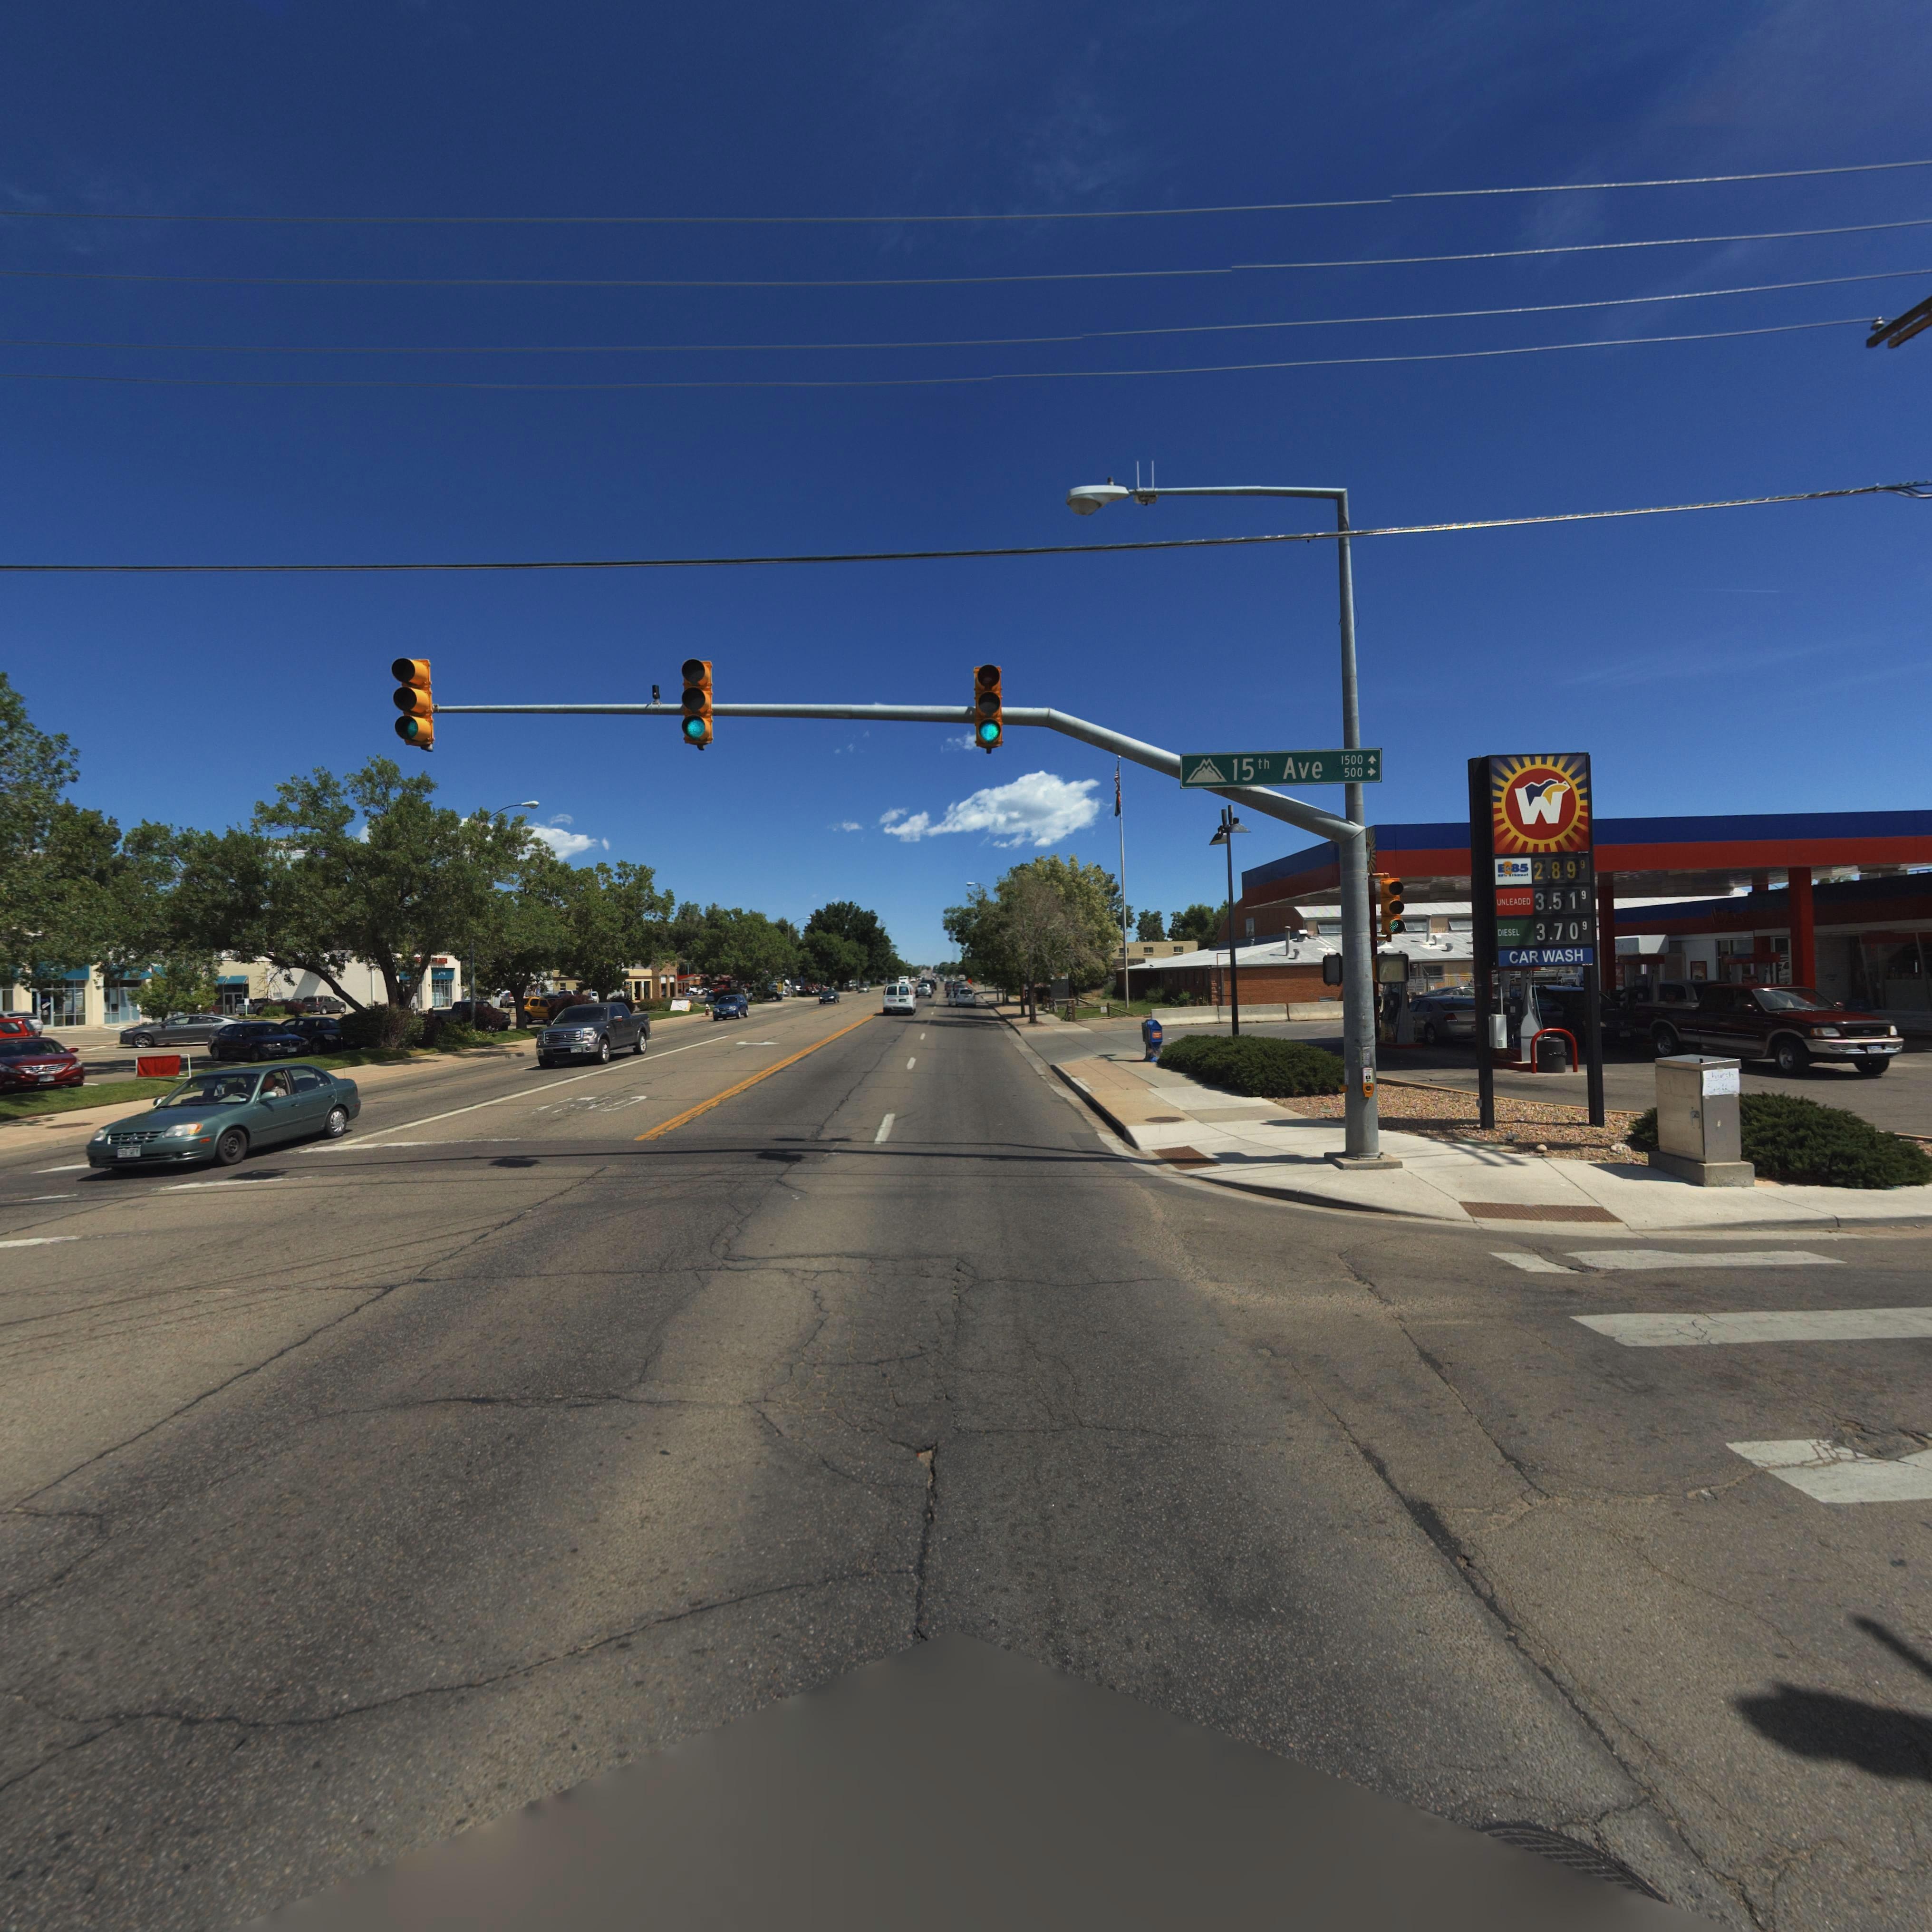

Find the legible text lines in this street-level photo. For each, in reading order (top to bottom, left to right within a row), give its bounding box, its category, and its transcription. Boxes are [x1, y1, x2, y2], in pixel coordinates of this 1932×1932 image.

[1340, 753, 1364, 765] StreetNumberRange: 1500
[1230, 755, 1326, 782] StreetName: 15th Ave
[1344, 766, 1378, 778] StreetNumberRange: 500->